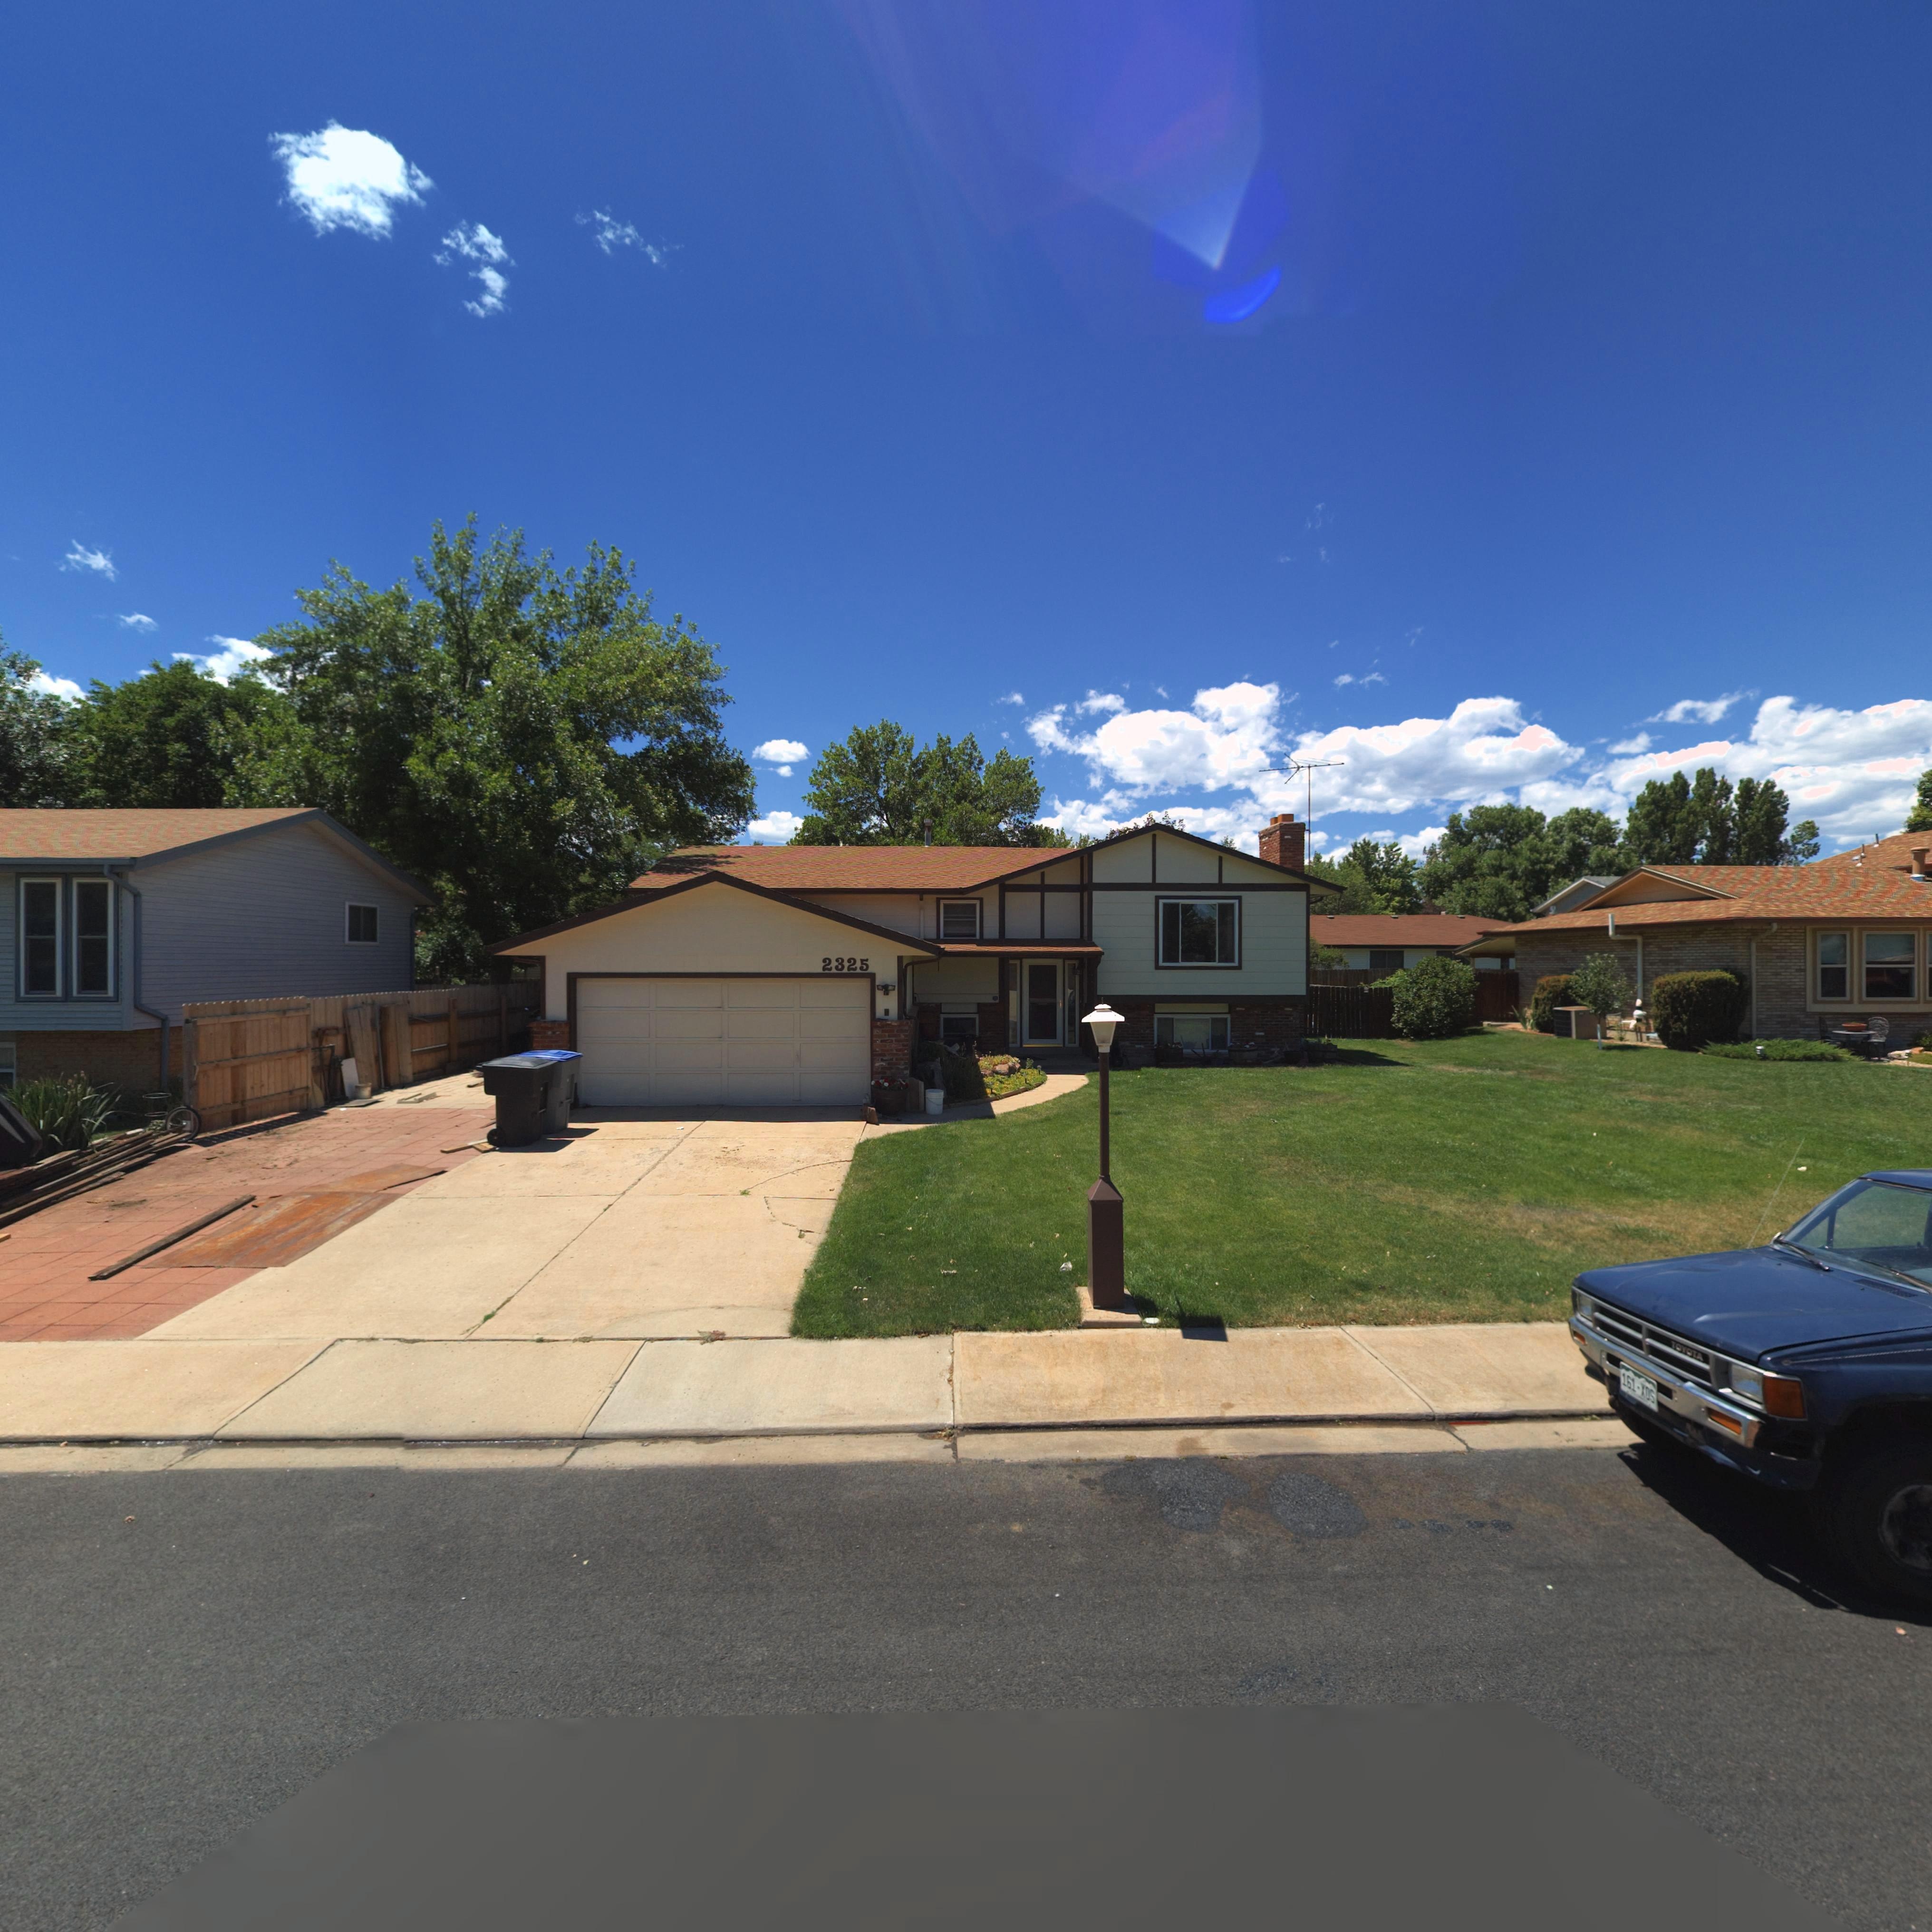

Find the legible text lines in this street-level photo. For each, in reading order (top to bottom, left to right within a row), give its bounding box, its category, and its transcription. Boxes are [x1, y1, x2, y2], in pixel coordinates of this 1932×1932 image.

[822, 956, 869, 972] StreetNumber: 2325